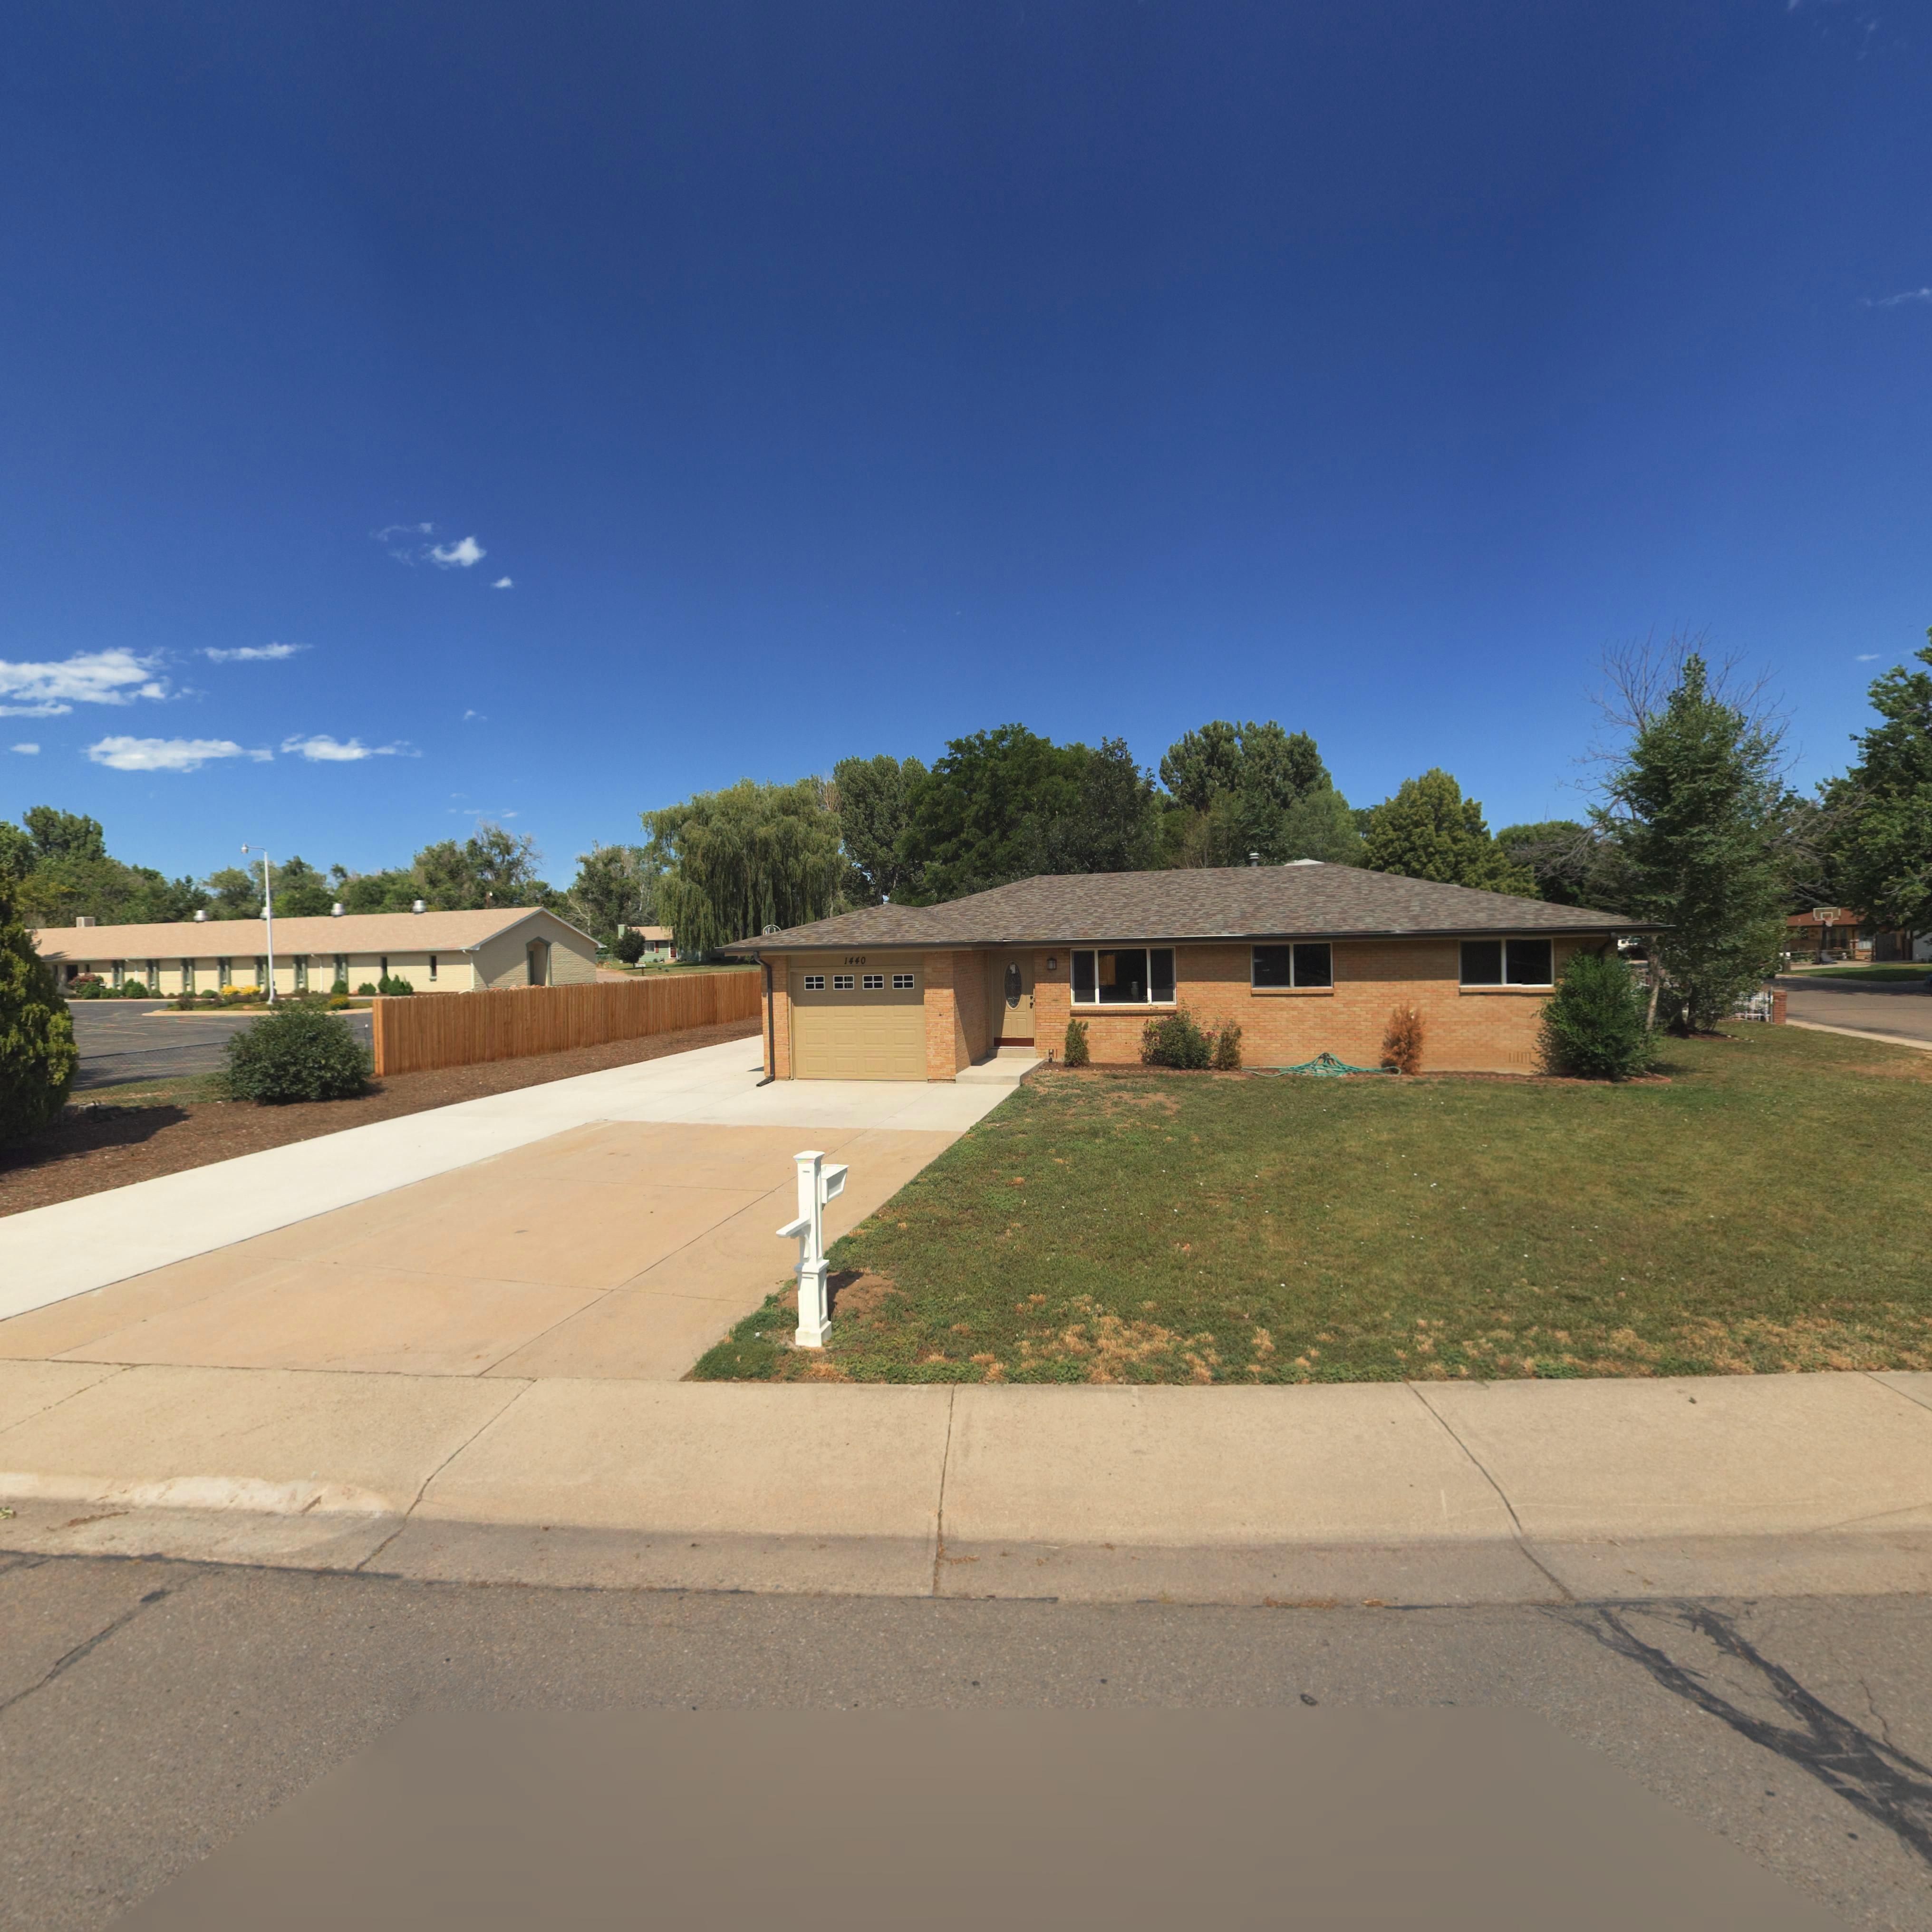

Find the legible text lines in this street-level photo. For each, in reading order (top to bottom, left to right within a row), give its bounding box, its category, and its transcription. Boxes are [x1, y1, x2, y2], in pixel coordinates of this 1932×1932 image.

[844, 956, 866, 965] StreetNumber: 1440